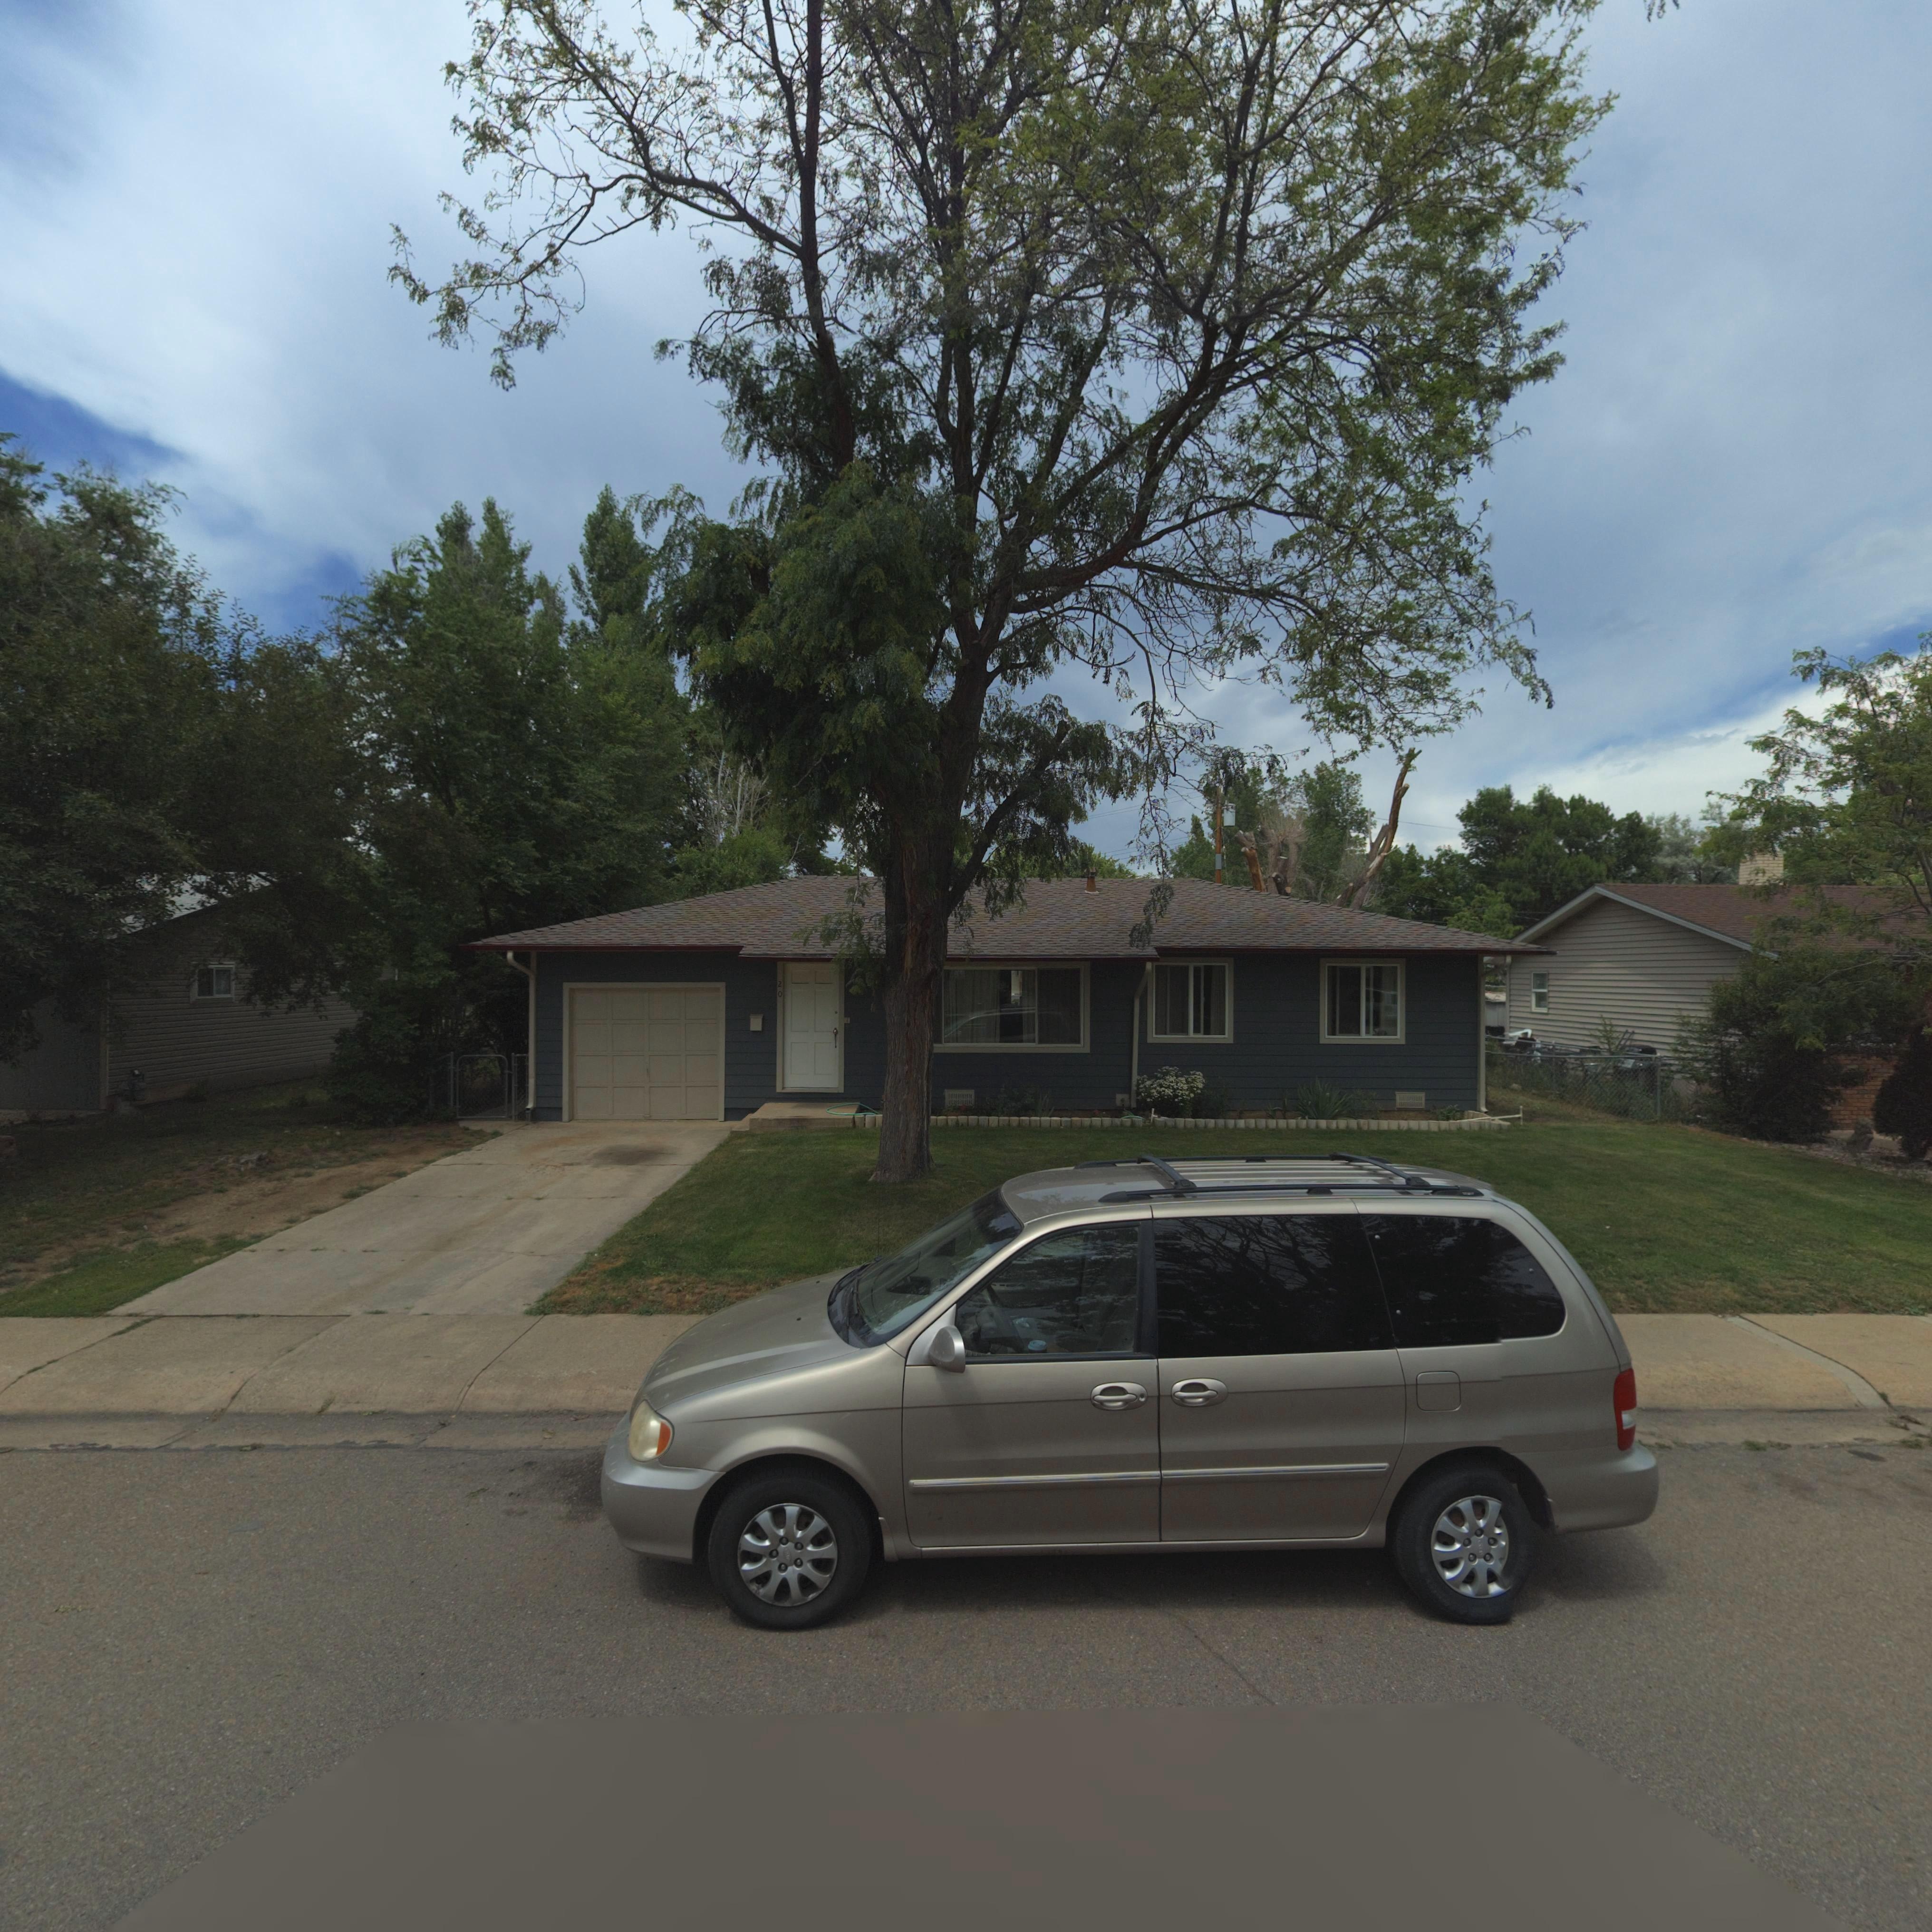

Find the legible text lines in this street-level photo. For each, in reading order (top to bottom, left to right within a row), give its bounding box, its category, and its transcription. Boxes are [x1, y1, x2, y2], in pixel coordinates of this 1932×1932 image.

[777, 981, 782, 997] StreetNumber: 20